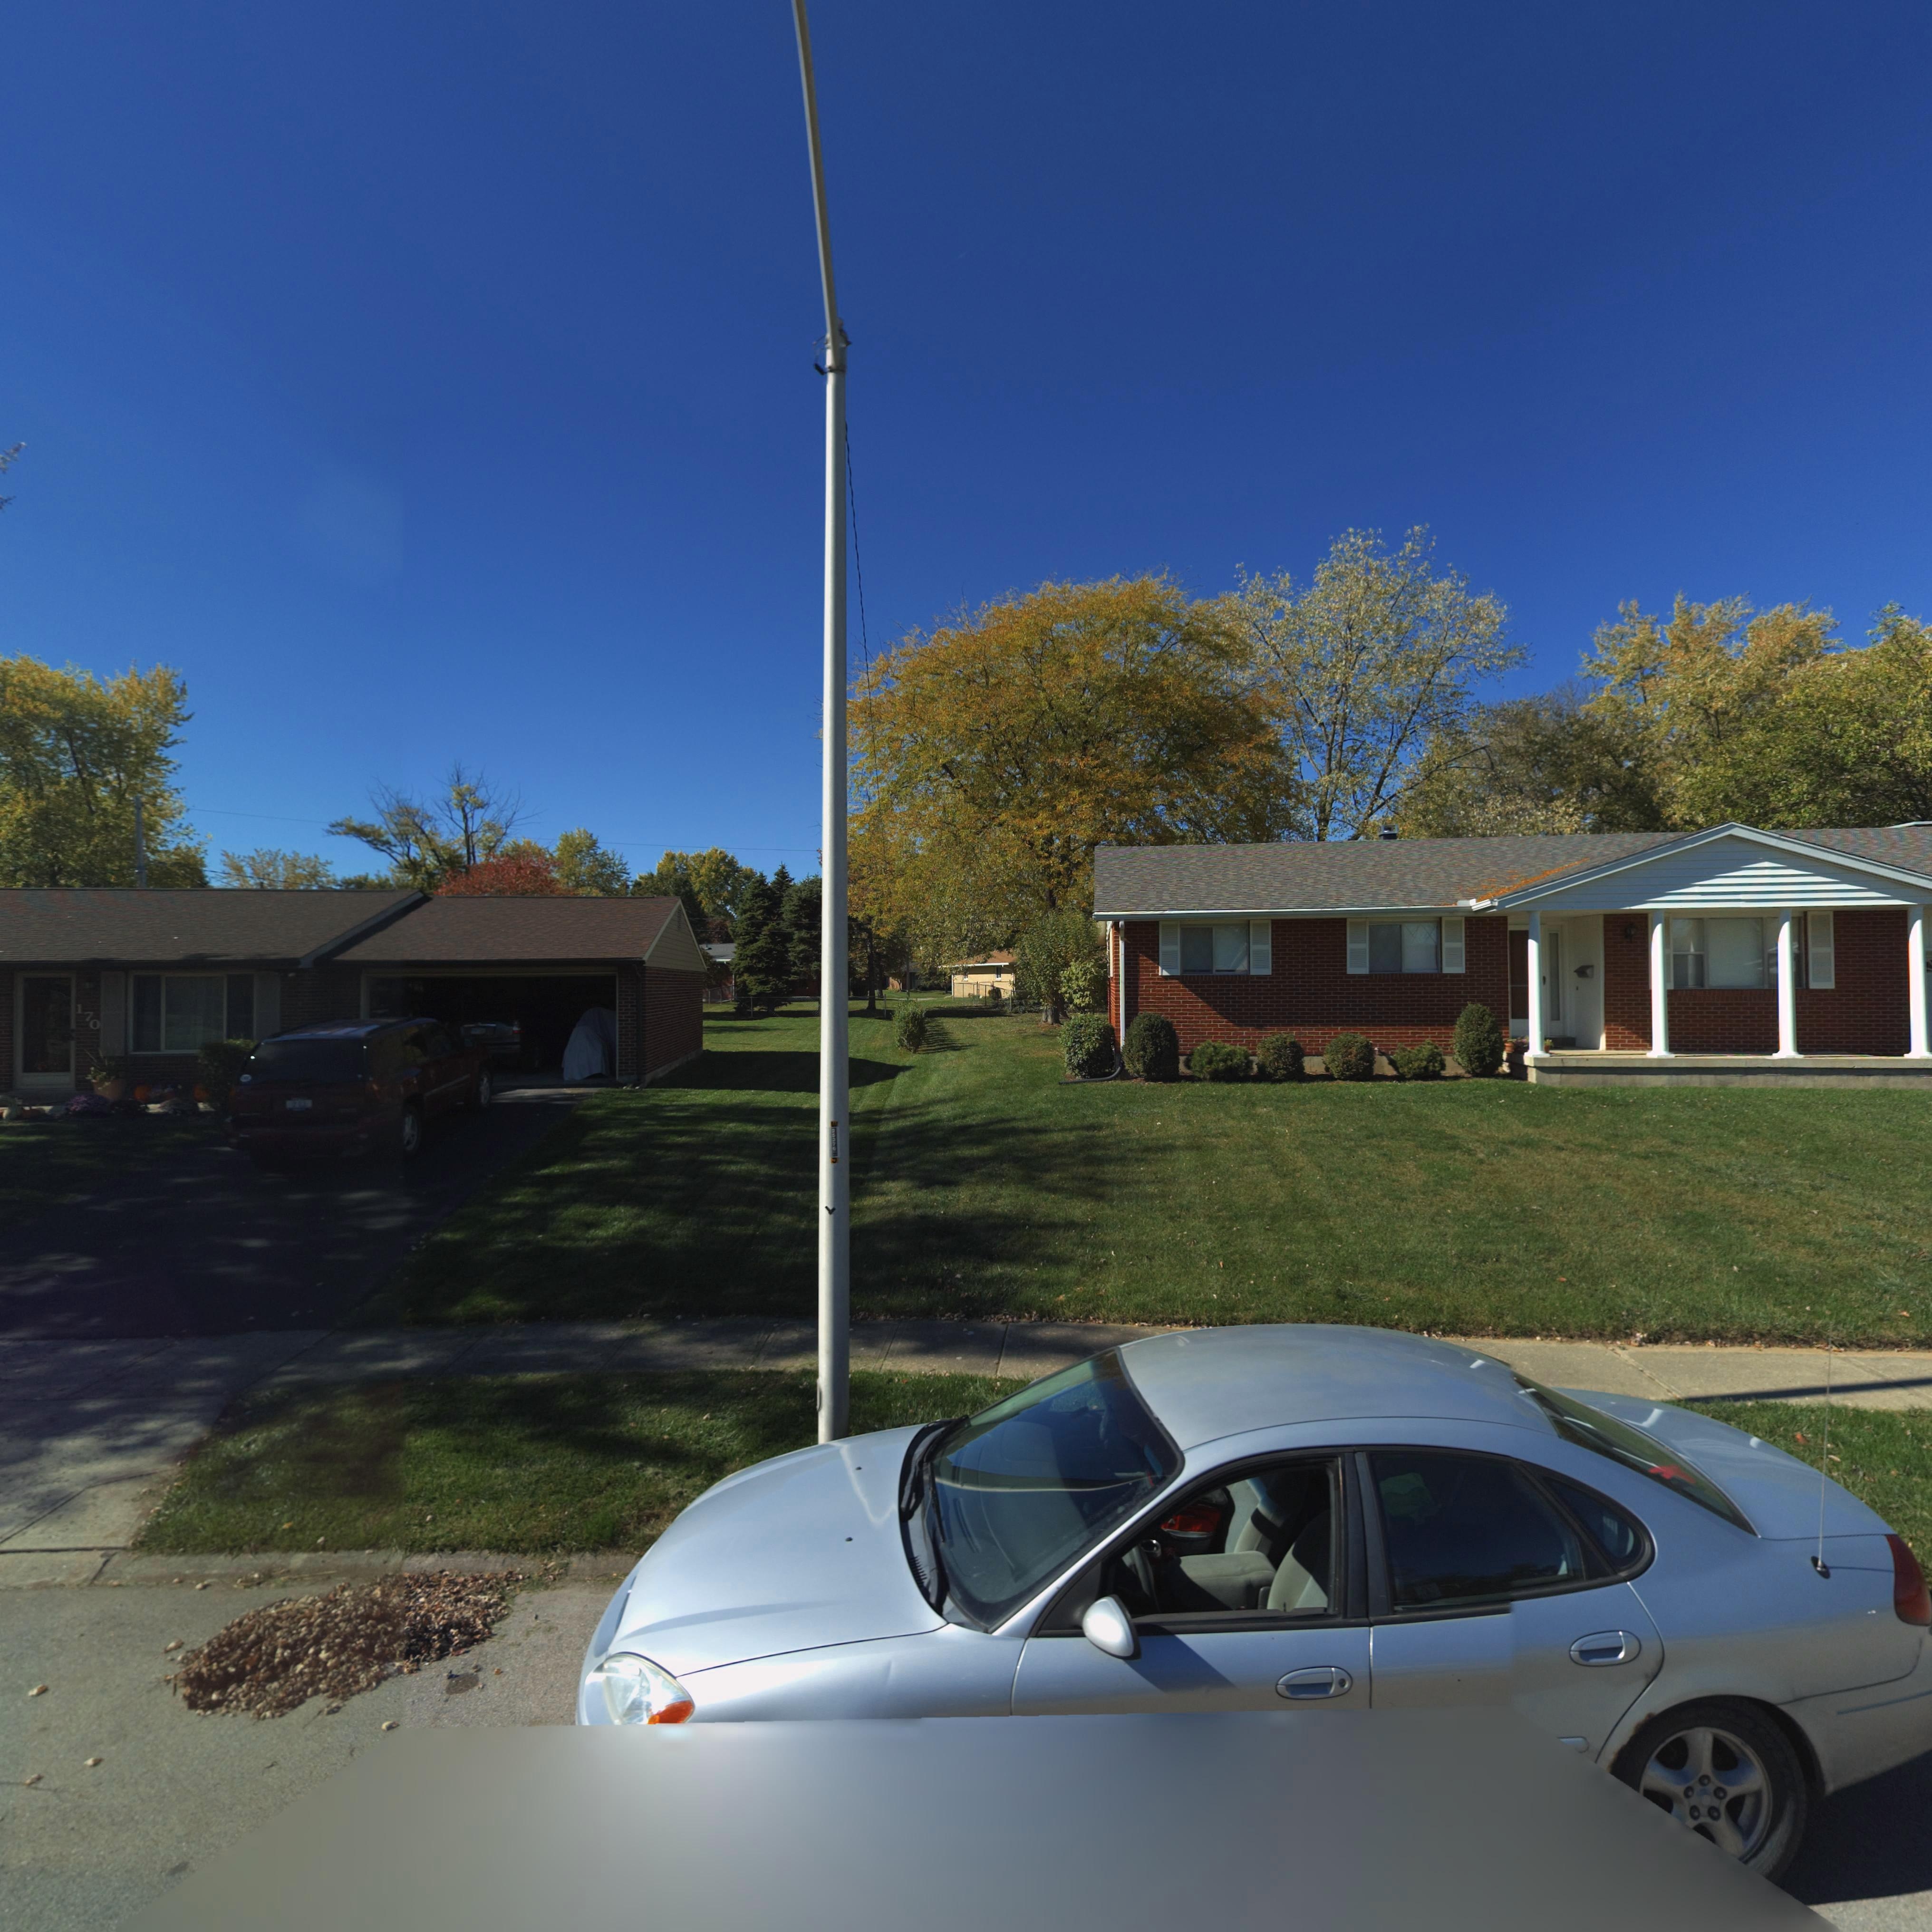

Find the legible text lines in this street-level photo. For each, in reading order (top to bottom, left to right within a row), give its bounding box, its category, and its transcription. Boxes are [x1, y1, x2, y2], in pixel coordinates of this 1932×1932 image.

[77, 1003, 102, 1031] StreetNumber: 170